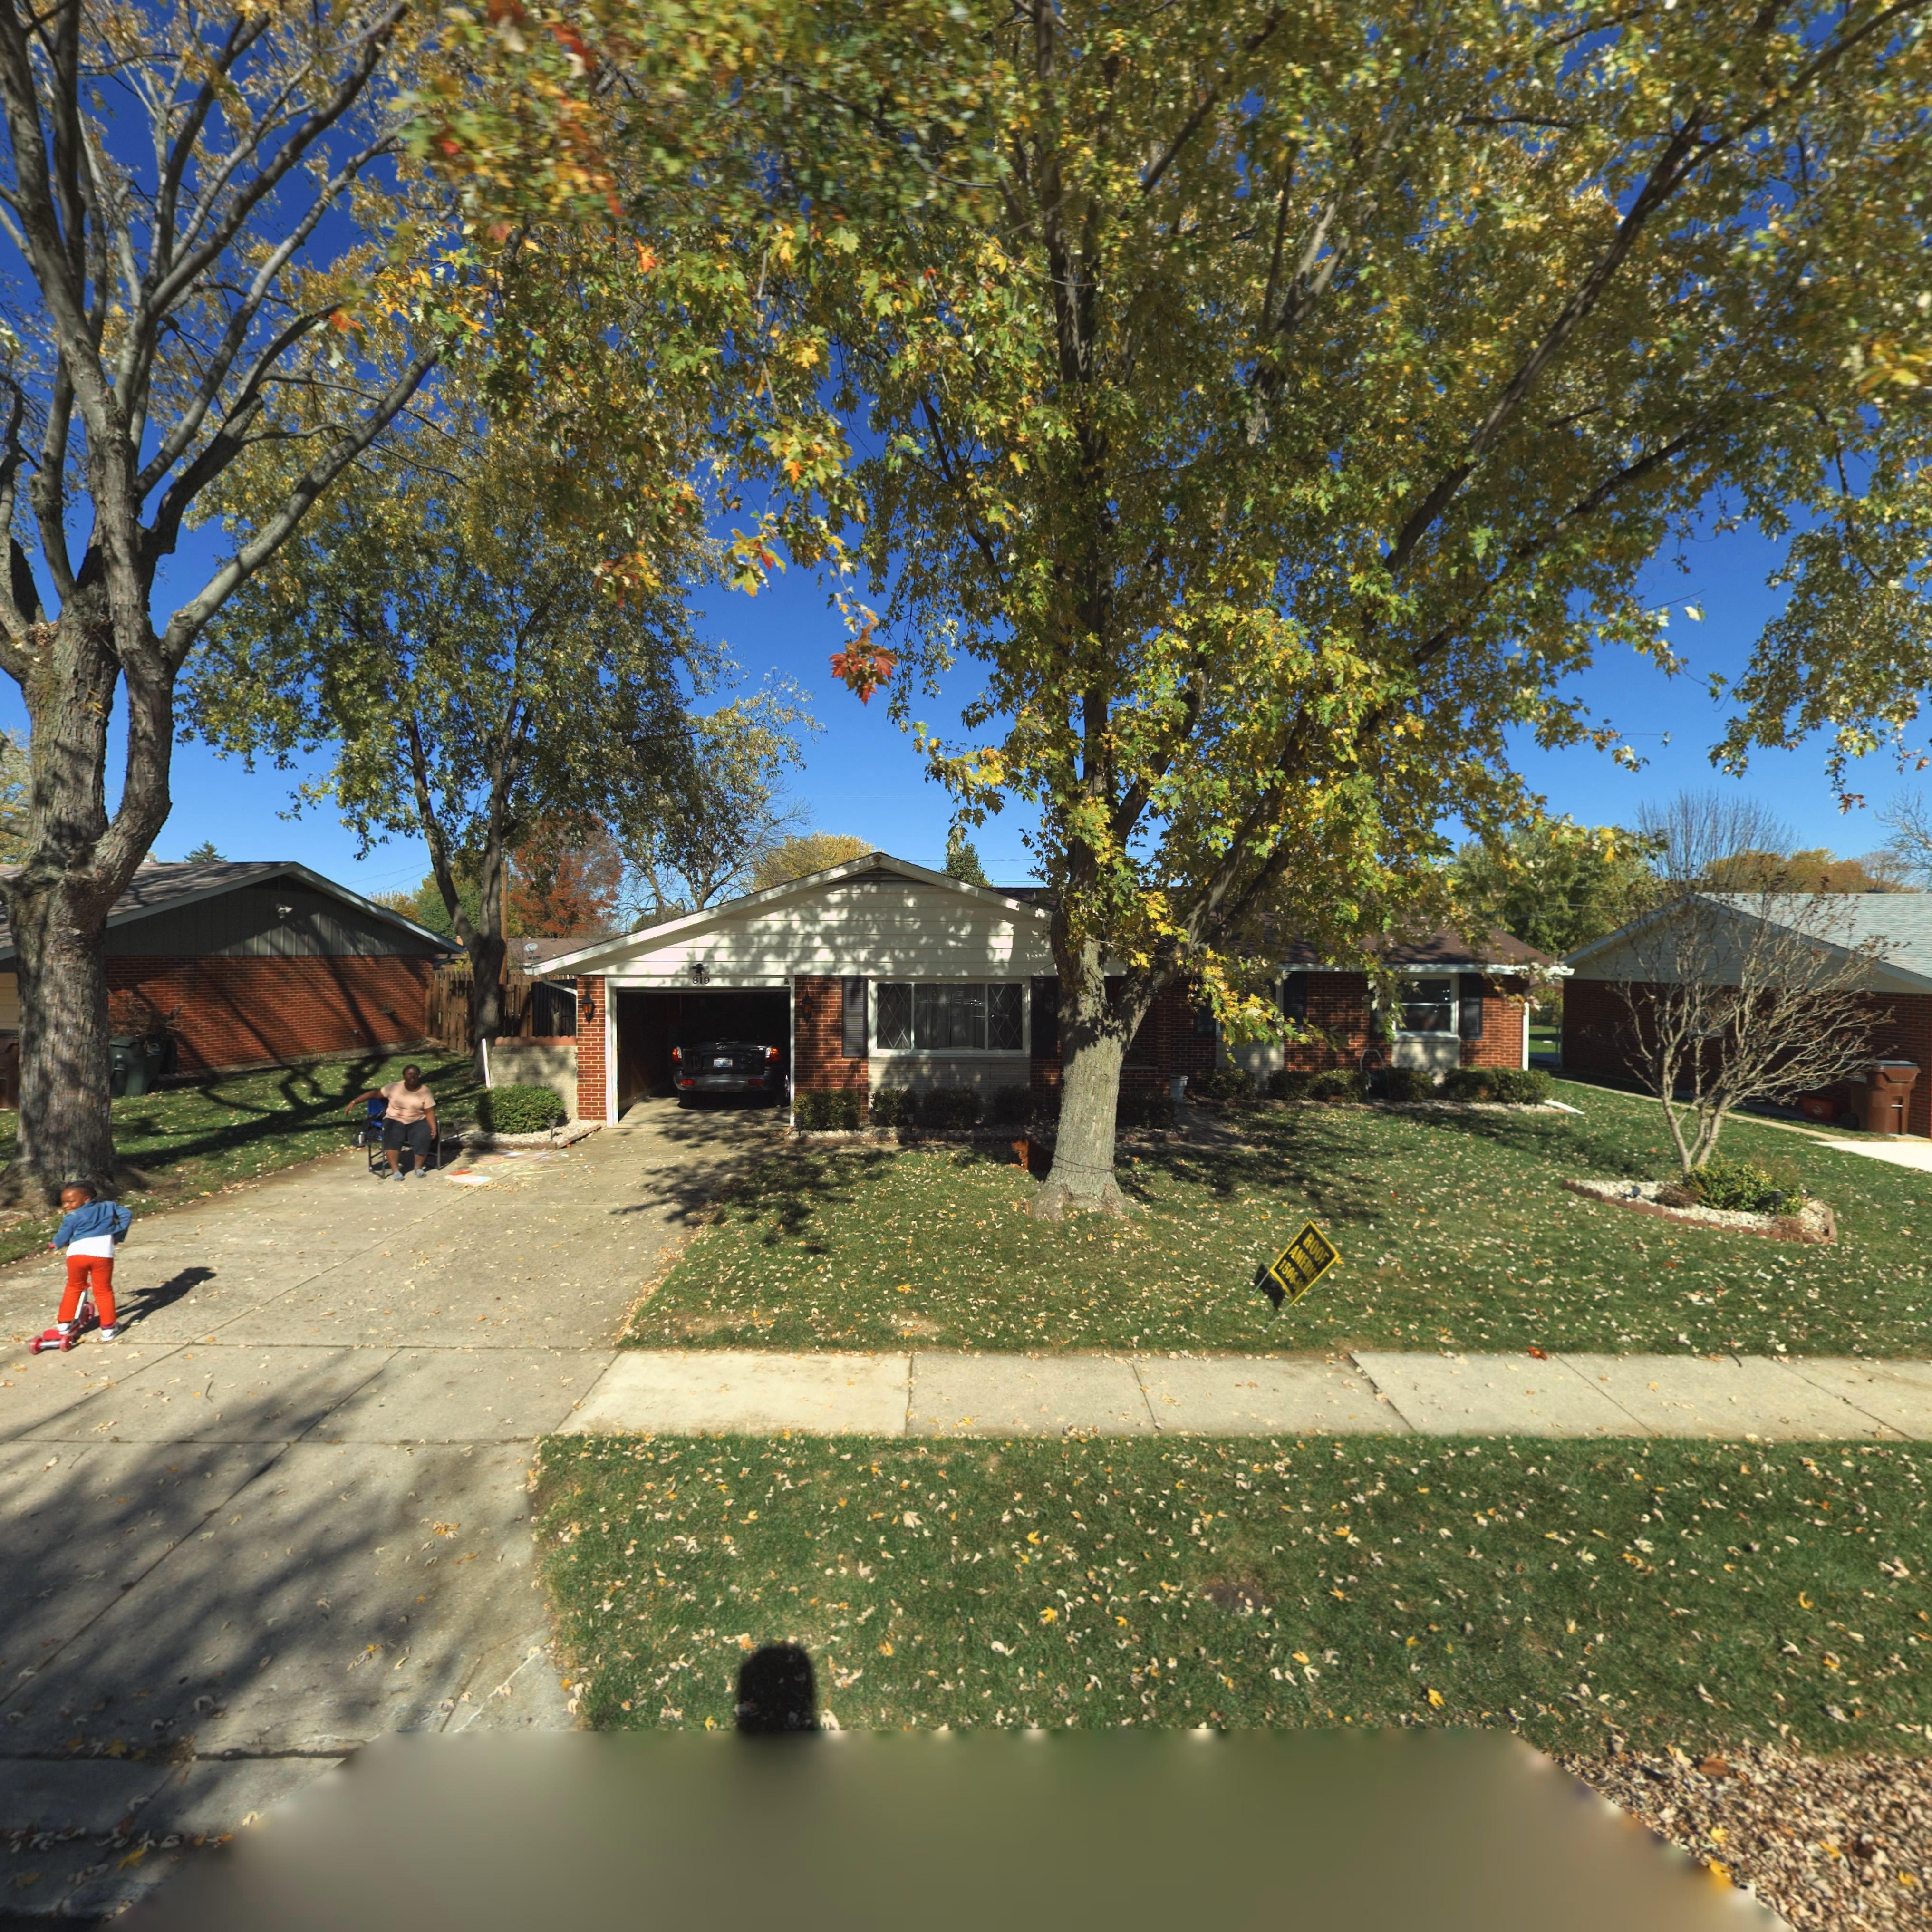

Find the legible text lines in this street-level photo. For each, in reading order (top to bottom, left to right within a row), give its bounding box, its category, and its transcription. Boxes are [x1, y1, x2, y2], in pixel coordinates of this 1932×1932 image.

[692, 976, 710, 984] StreetNumber: 819